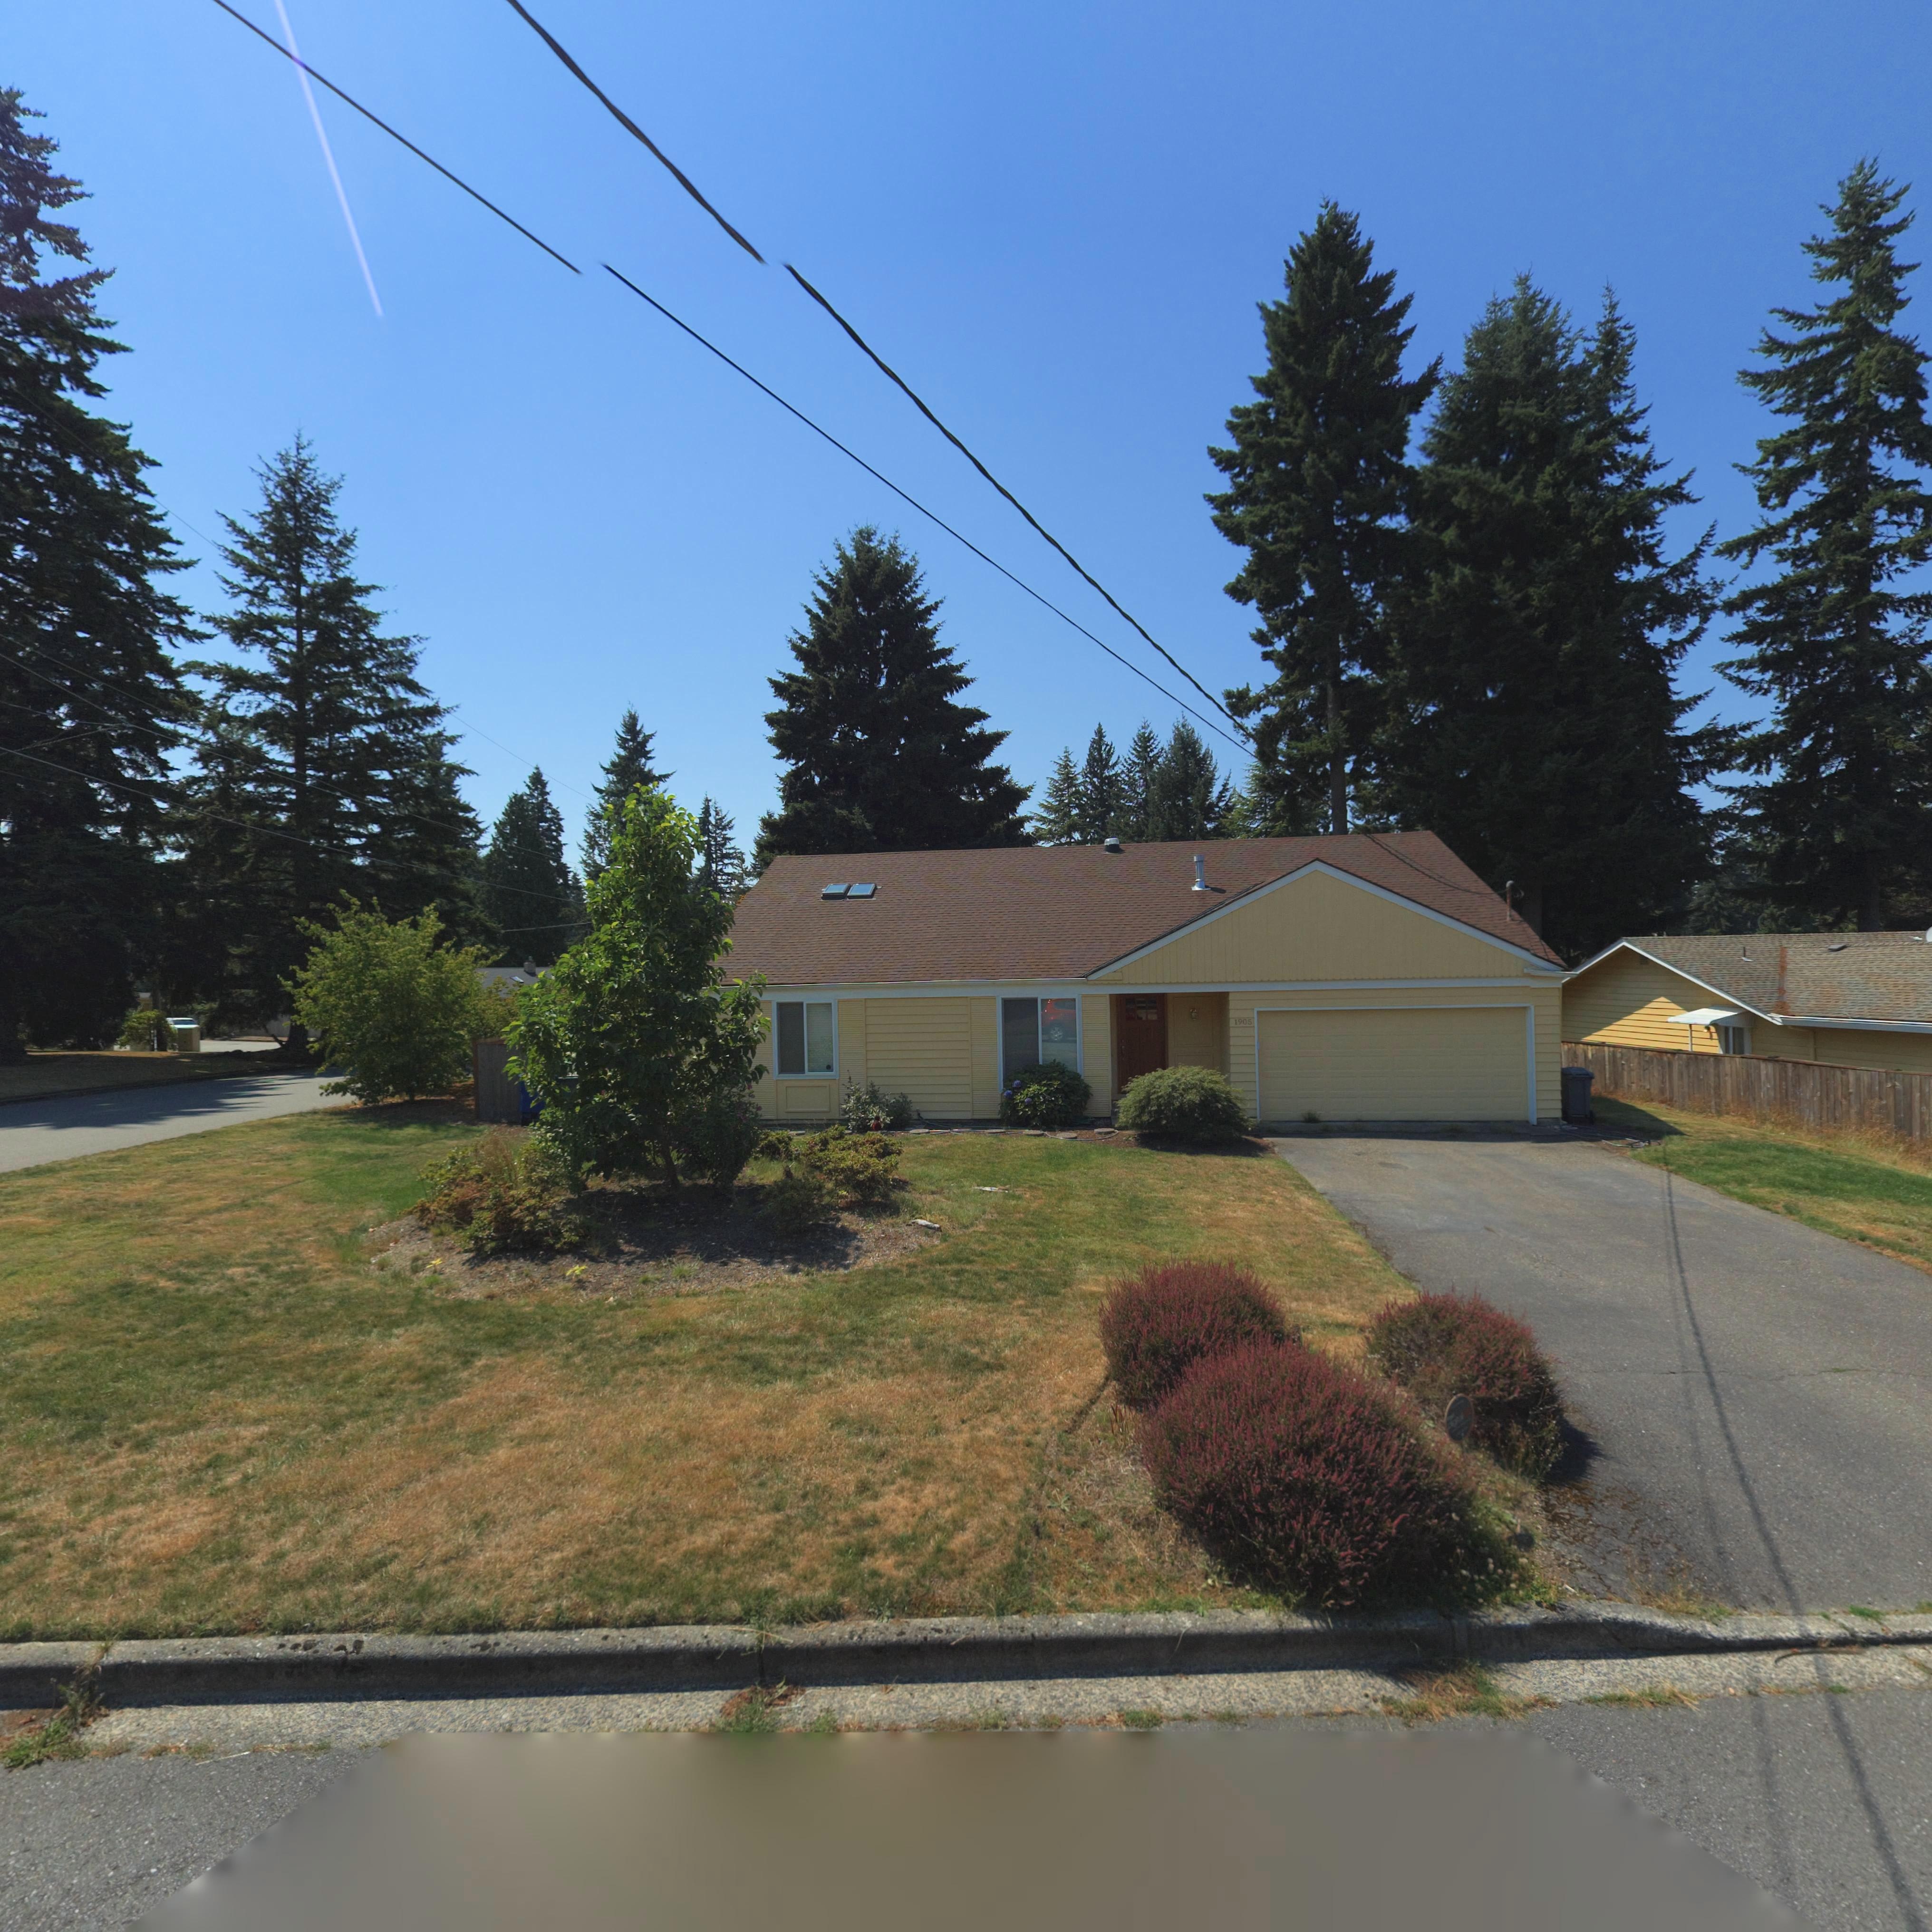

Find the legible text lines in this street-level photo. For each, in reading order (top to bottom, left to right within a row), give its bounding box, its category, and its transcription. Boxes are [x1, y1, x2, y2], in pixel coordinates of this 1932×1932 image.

[1234, 1018, 1252, 1025] StreetNumber: 1905